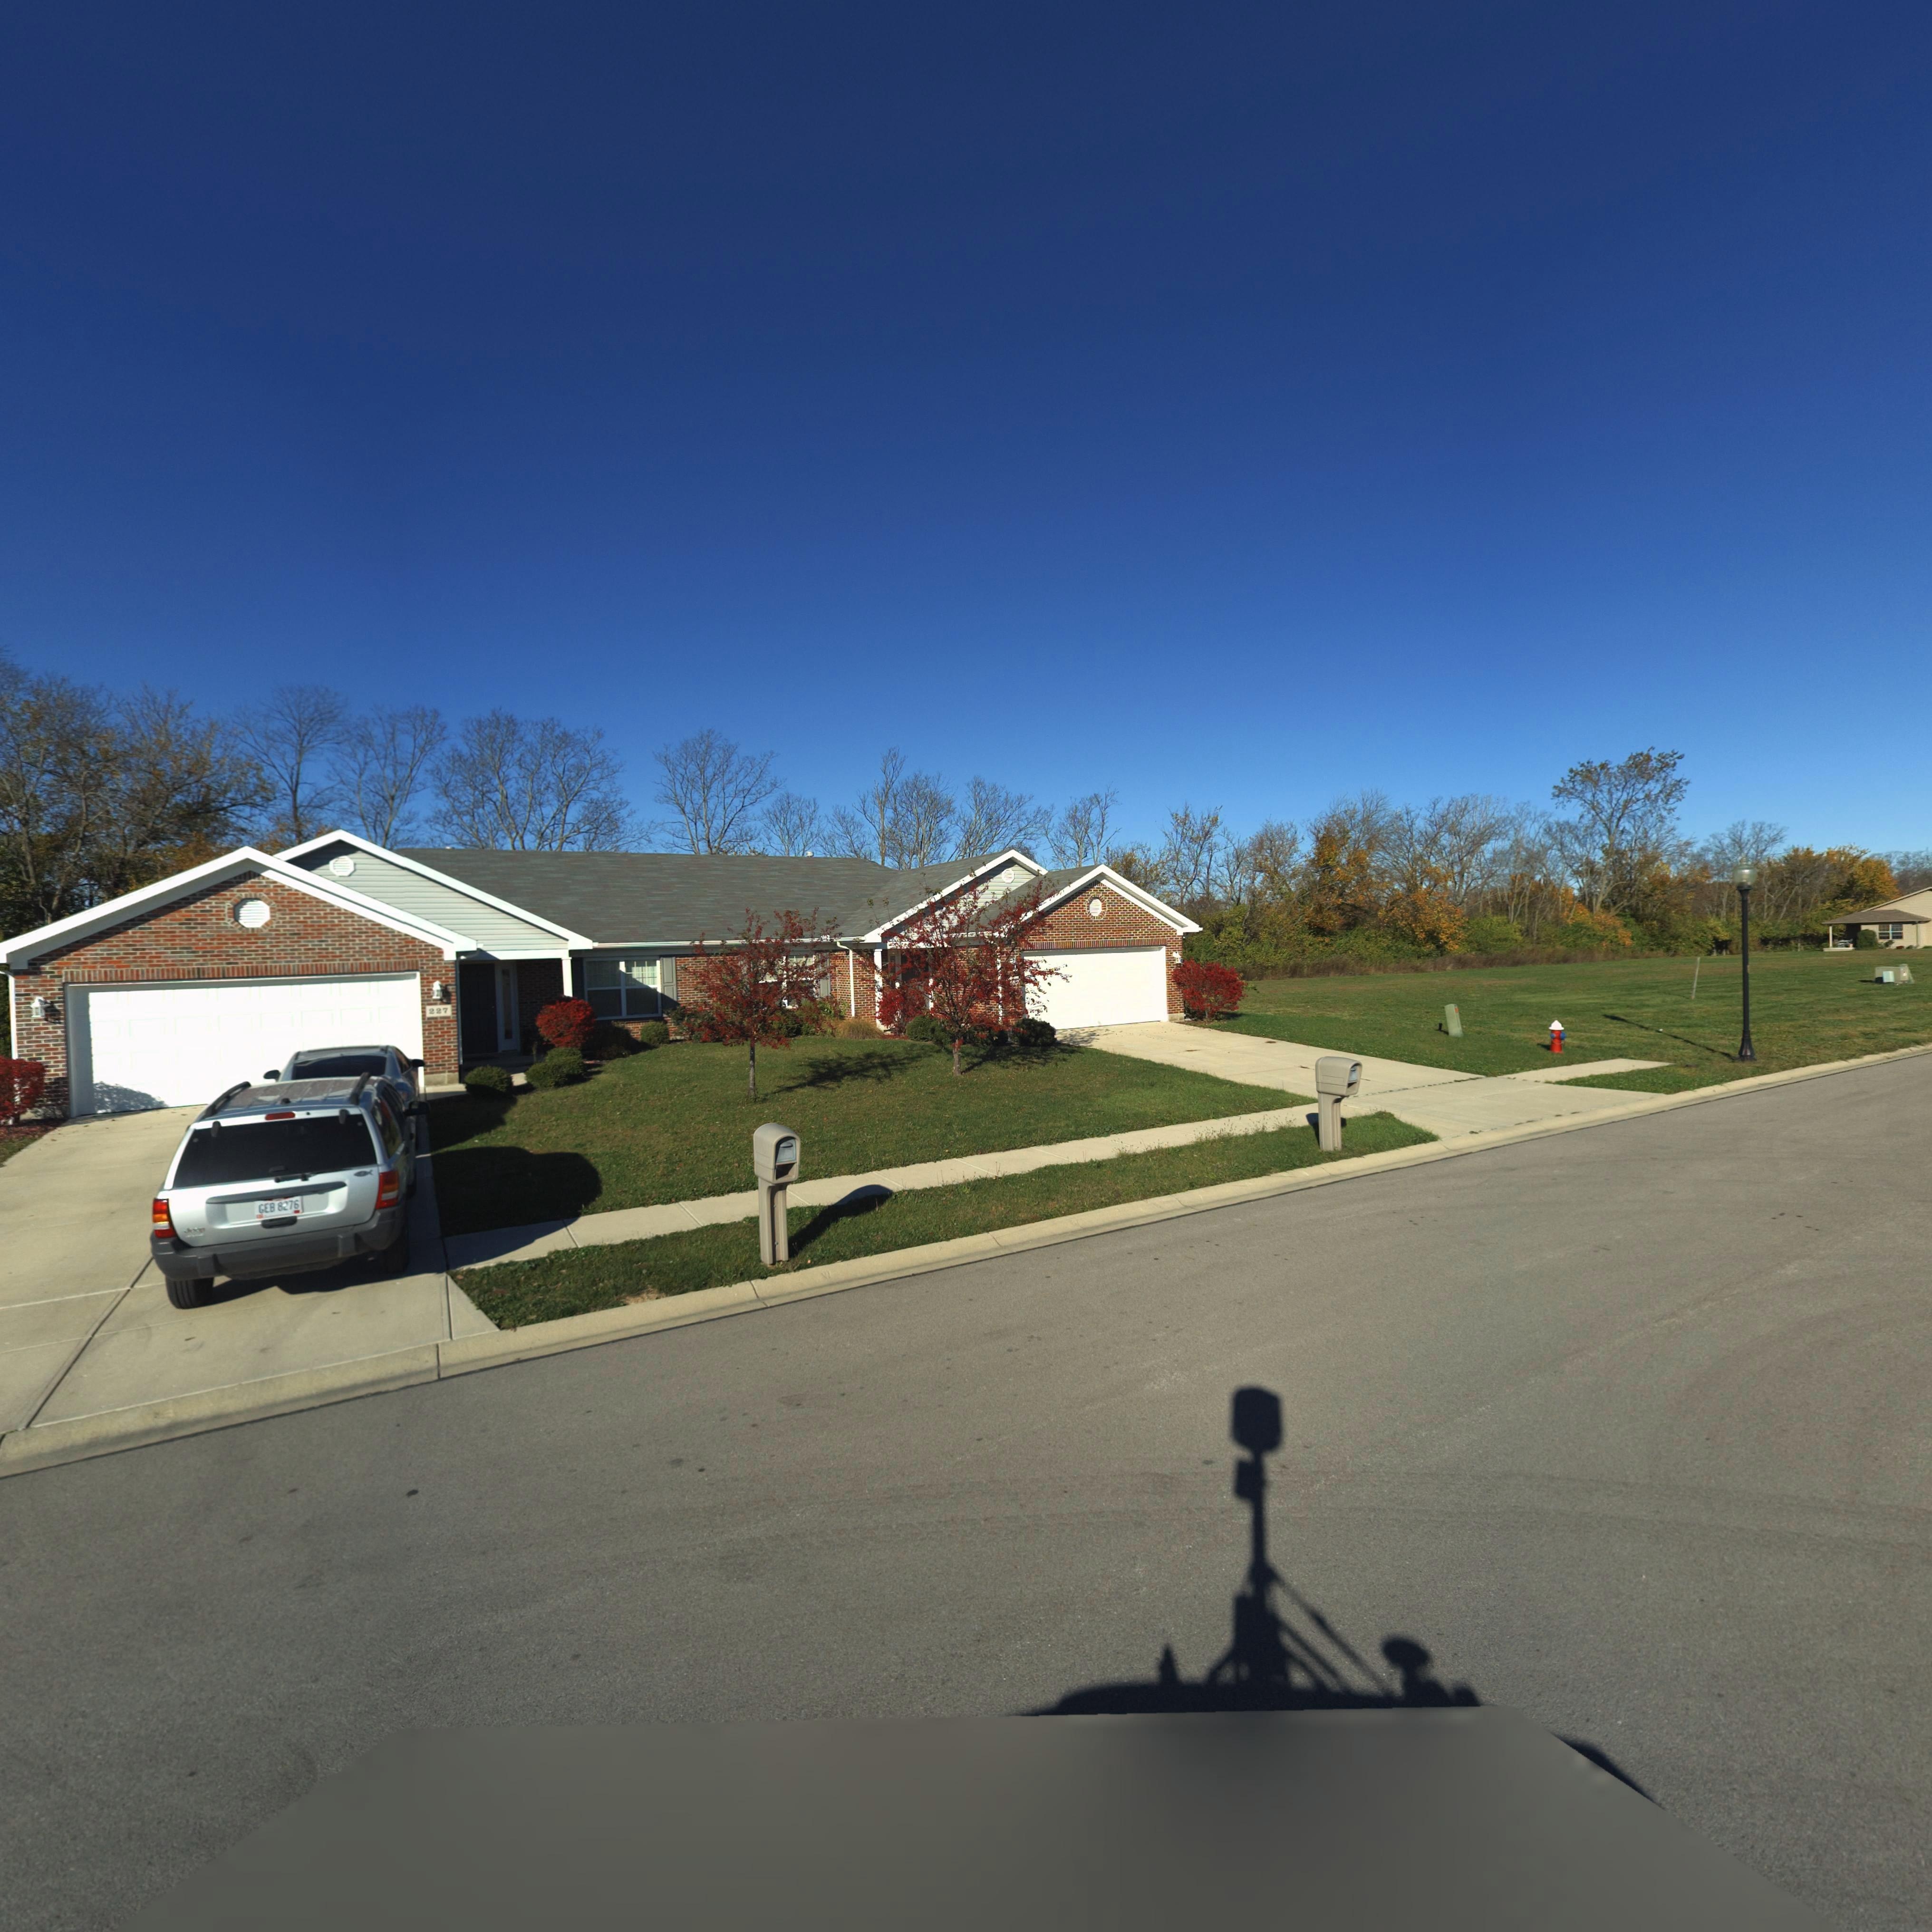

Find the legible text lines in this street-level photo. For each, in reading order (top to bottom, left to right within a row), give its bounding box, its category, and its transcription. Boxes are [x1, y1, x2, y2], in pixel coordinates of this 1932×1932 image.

[428, 1007, 449, 1015] StreetNumber: 227